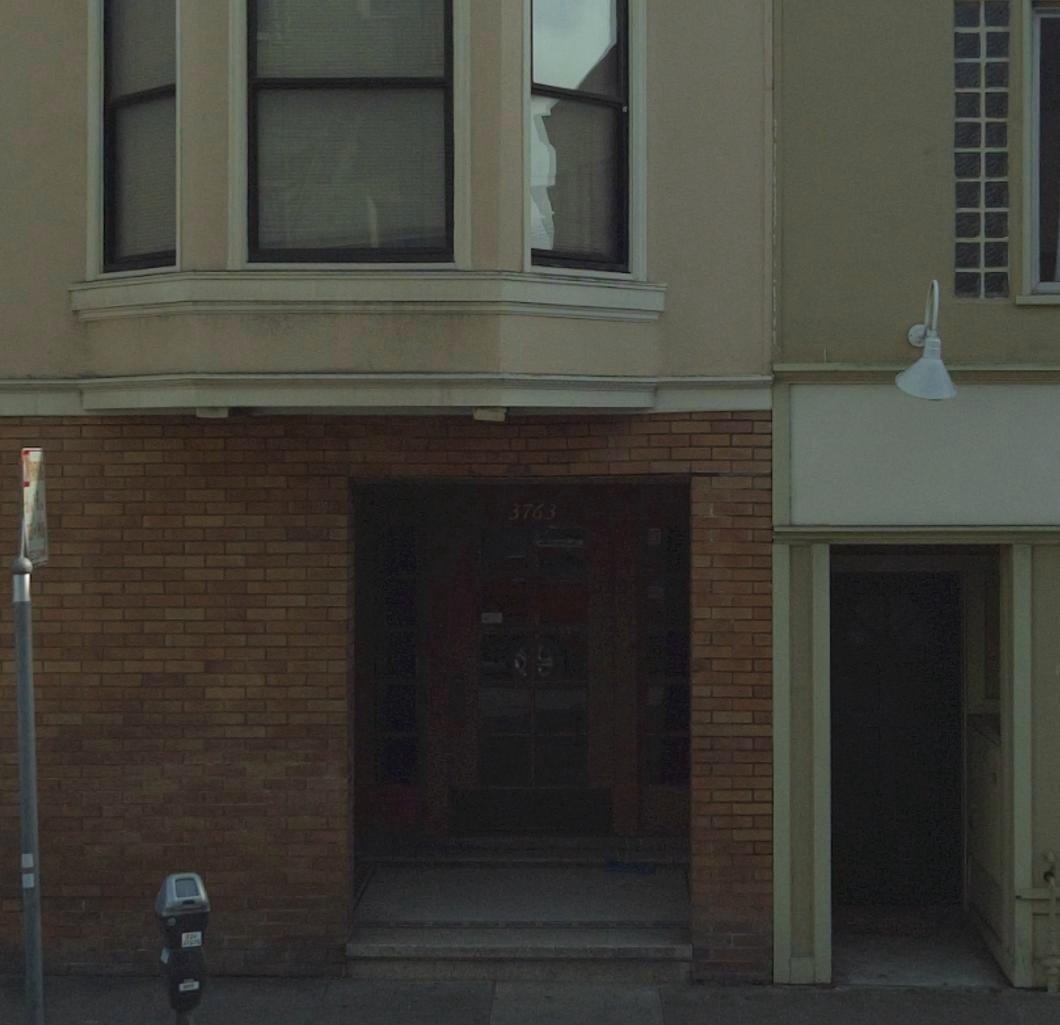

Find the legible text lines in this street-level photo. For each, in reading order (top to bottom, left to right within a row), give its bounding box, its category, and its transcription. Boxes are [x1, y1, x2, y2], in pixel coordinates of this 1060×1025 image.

[509, 502, 558, 521] StreetNumber: 3763